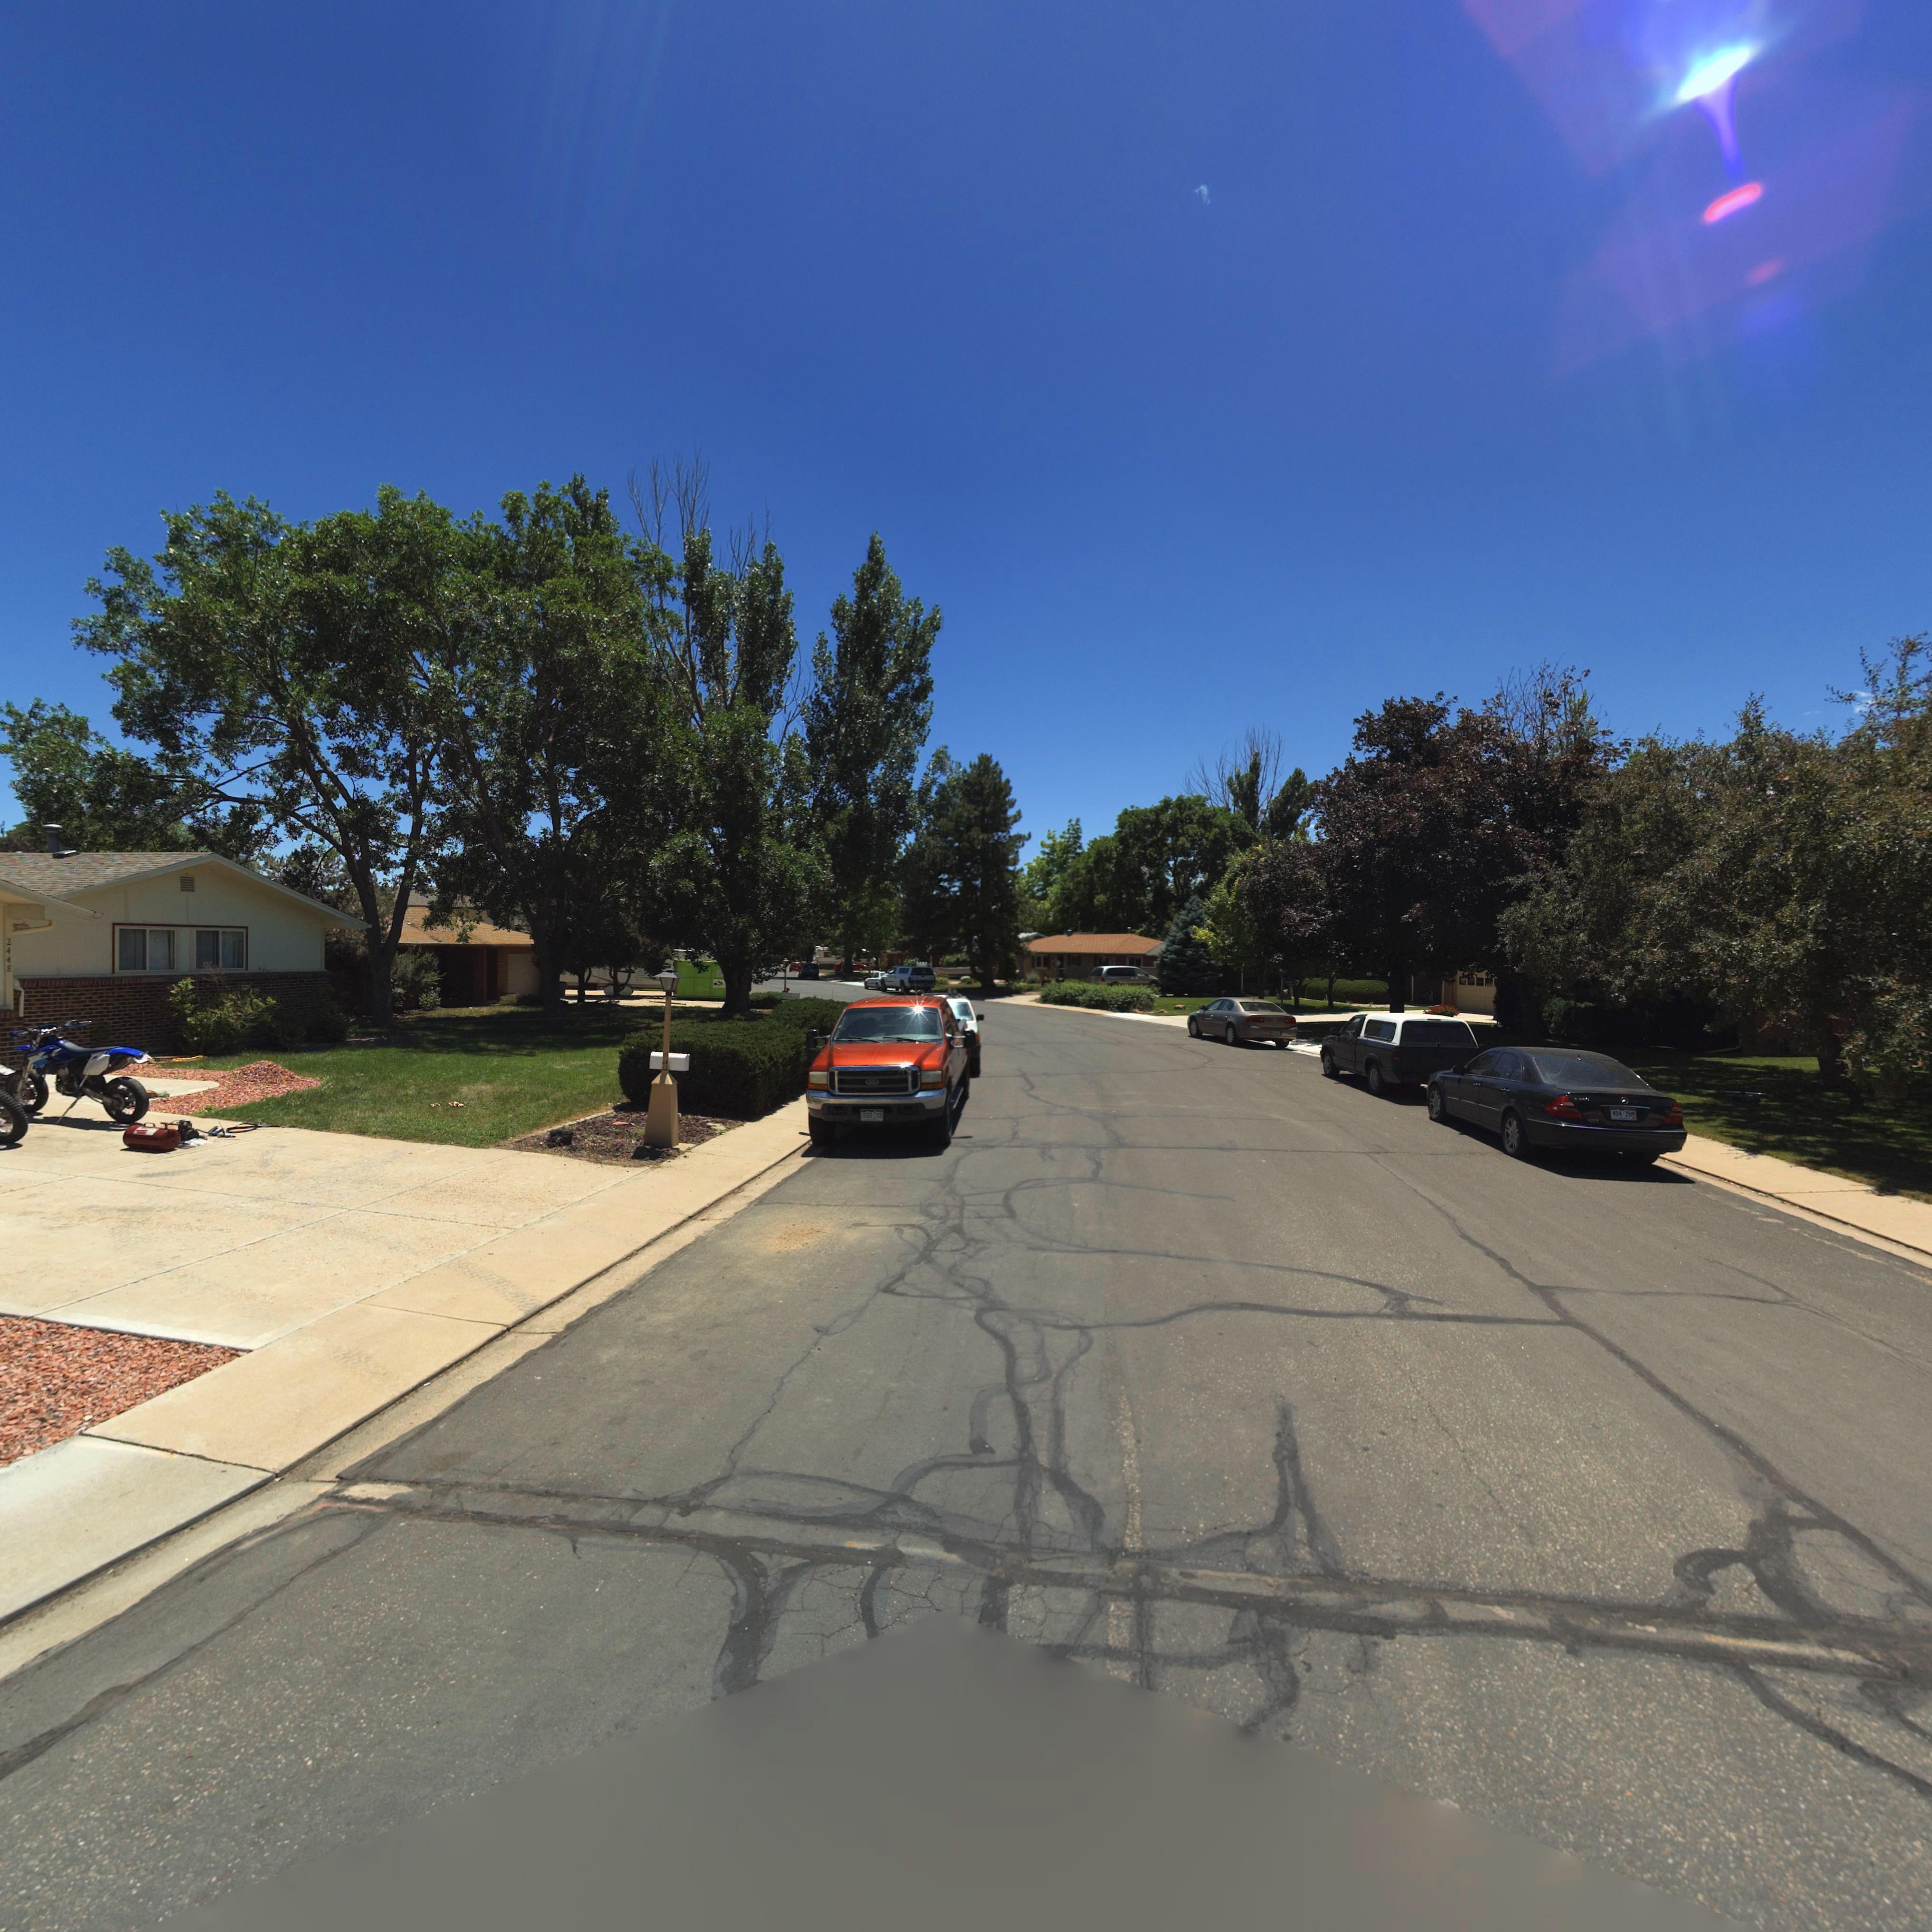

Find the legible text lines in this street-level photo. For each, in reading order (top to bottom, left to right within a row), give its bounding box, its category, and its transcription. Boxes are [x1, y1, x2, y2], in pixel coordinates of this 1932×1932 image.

[6, 937, 12, 972] StreetName: 2448